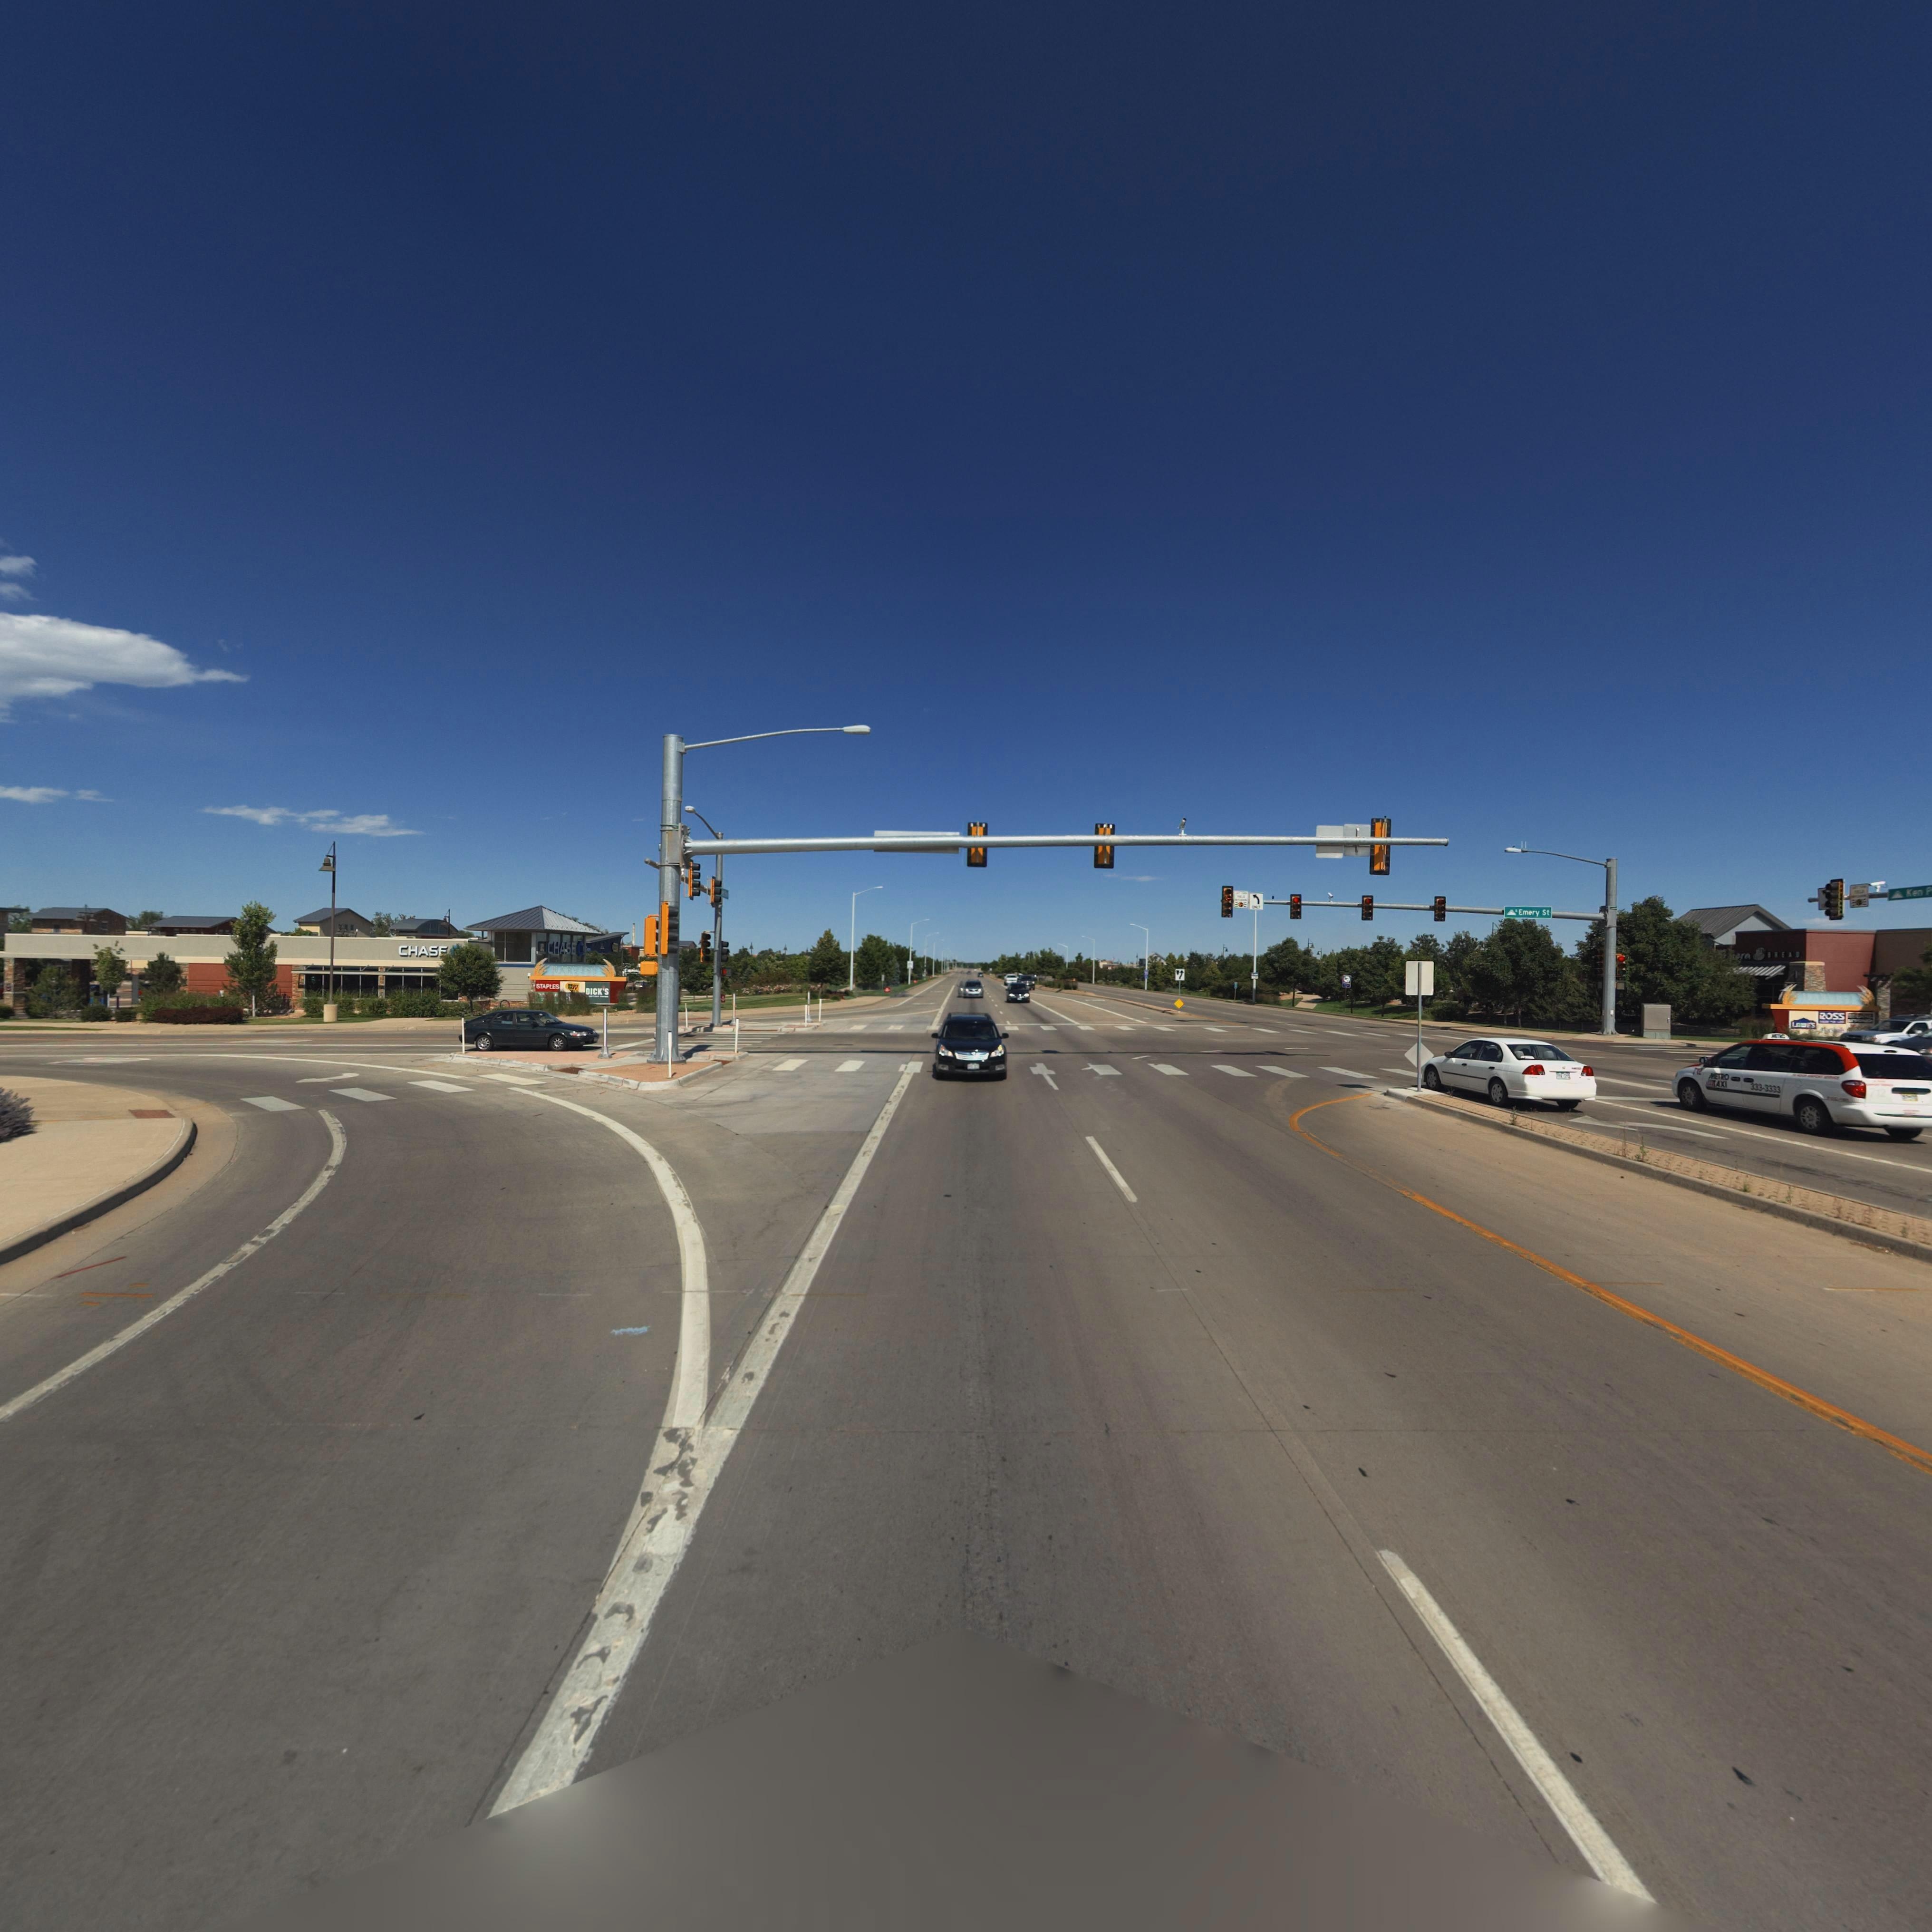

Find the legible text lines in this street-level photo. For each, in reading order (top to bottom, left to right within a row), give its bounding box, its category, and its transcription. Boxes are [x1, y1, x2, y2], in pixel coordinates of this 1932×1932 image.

[1905, 886, 1932, 897] StreetName: Ken P
[1518, 908, 1550, 917] StreetName: Emery St
[398, 945, 447, 956] BusinessName: CHASE
[547, 941, 577, 955] BusinessName: CHASE
[1767, 951, 1799, 958] BusinessName: BREAD
[536, 983, 560, 989] BusinessName: STAPLES
[567, 985, 577, 990] BusinessName: *UY
[567, 983, 579, 987] BusinessName: **ST
[585, 987, 609, 995] BusinessName: DICK'S
[1819, 1012, 1845, 1020] BusinessName: ROSS
[1791, 1021, 1816, 1028] BusinessName: LO*ES